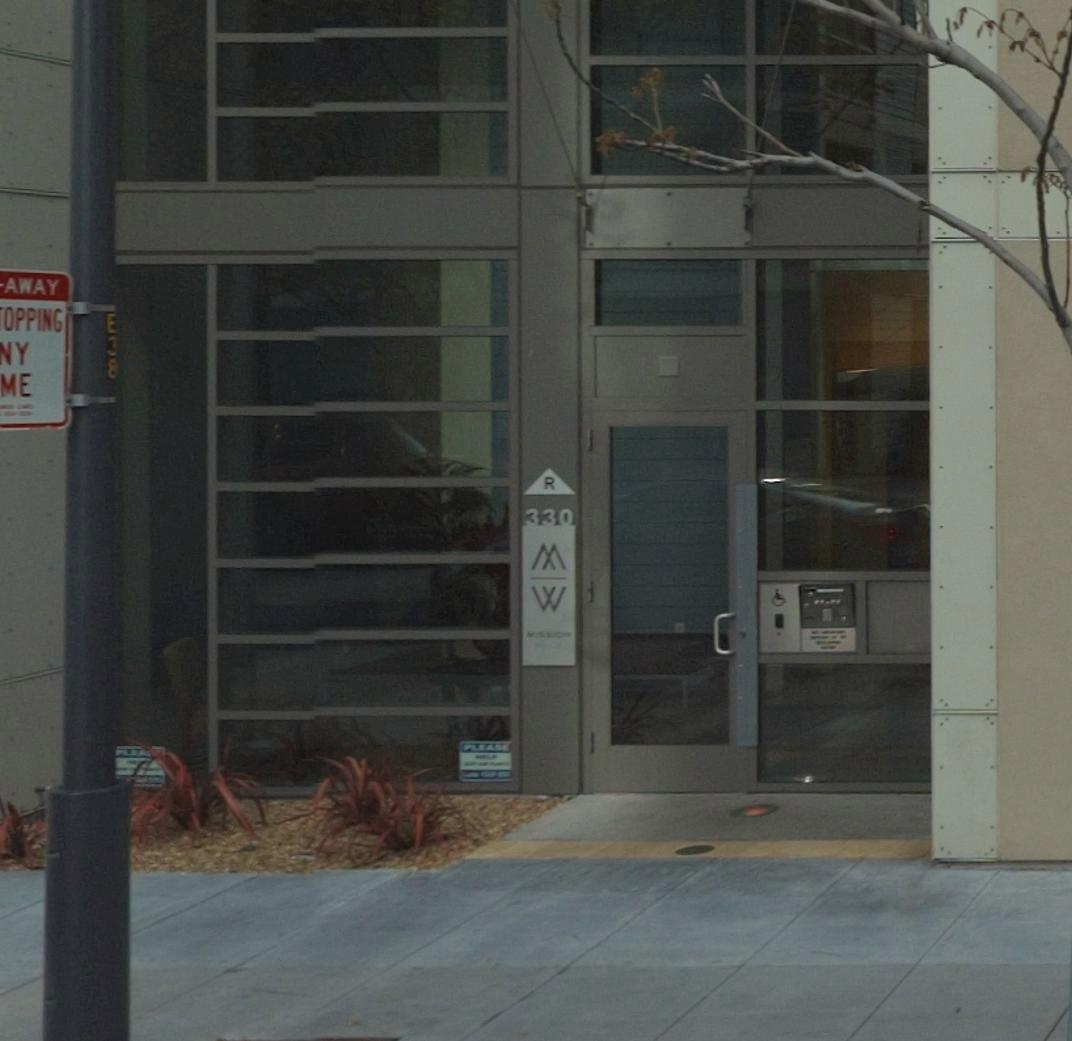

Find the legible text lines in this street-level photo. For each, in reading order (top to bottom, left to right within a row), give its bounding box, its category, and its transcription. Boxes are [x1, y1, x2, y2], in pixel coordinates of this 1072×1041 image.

[1, 272, 63, 298] None: AWAY
[1, 304, 66, 334] None: OPPING
[10, 337, 33, 368] None: Y
[104, 311, 119, 381] None: E**
[0, 369, 36, 400] None: ME
[542, 474, 559, 492] None: R
[523, 506, 575, 529] StreetNumber: 330